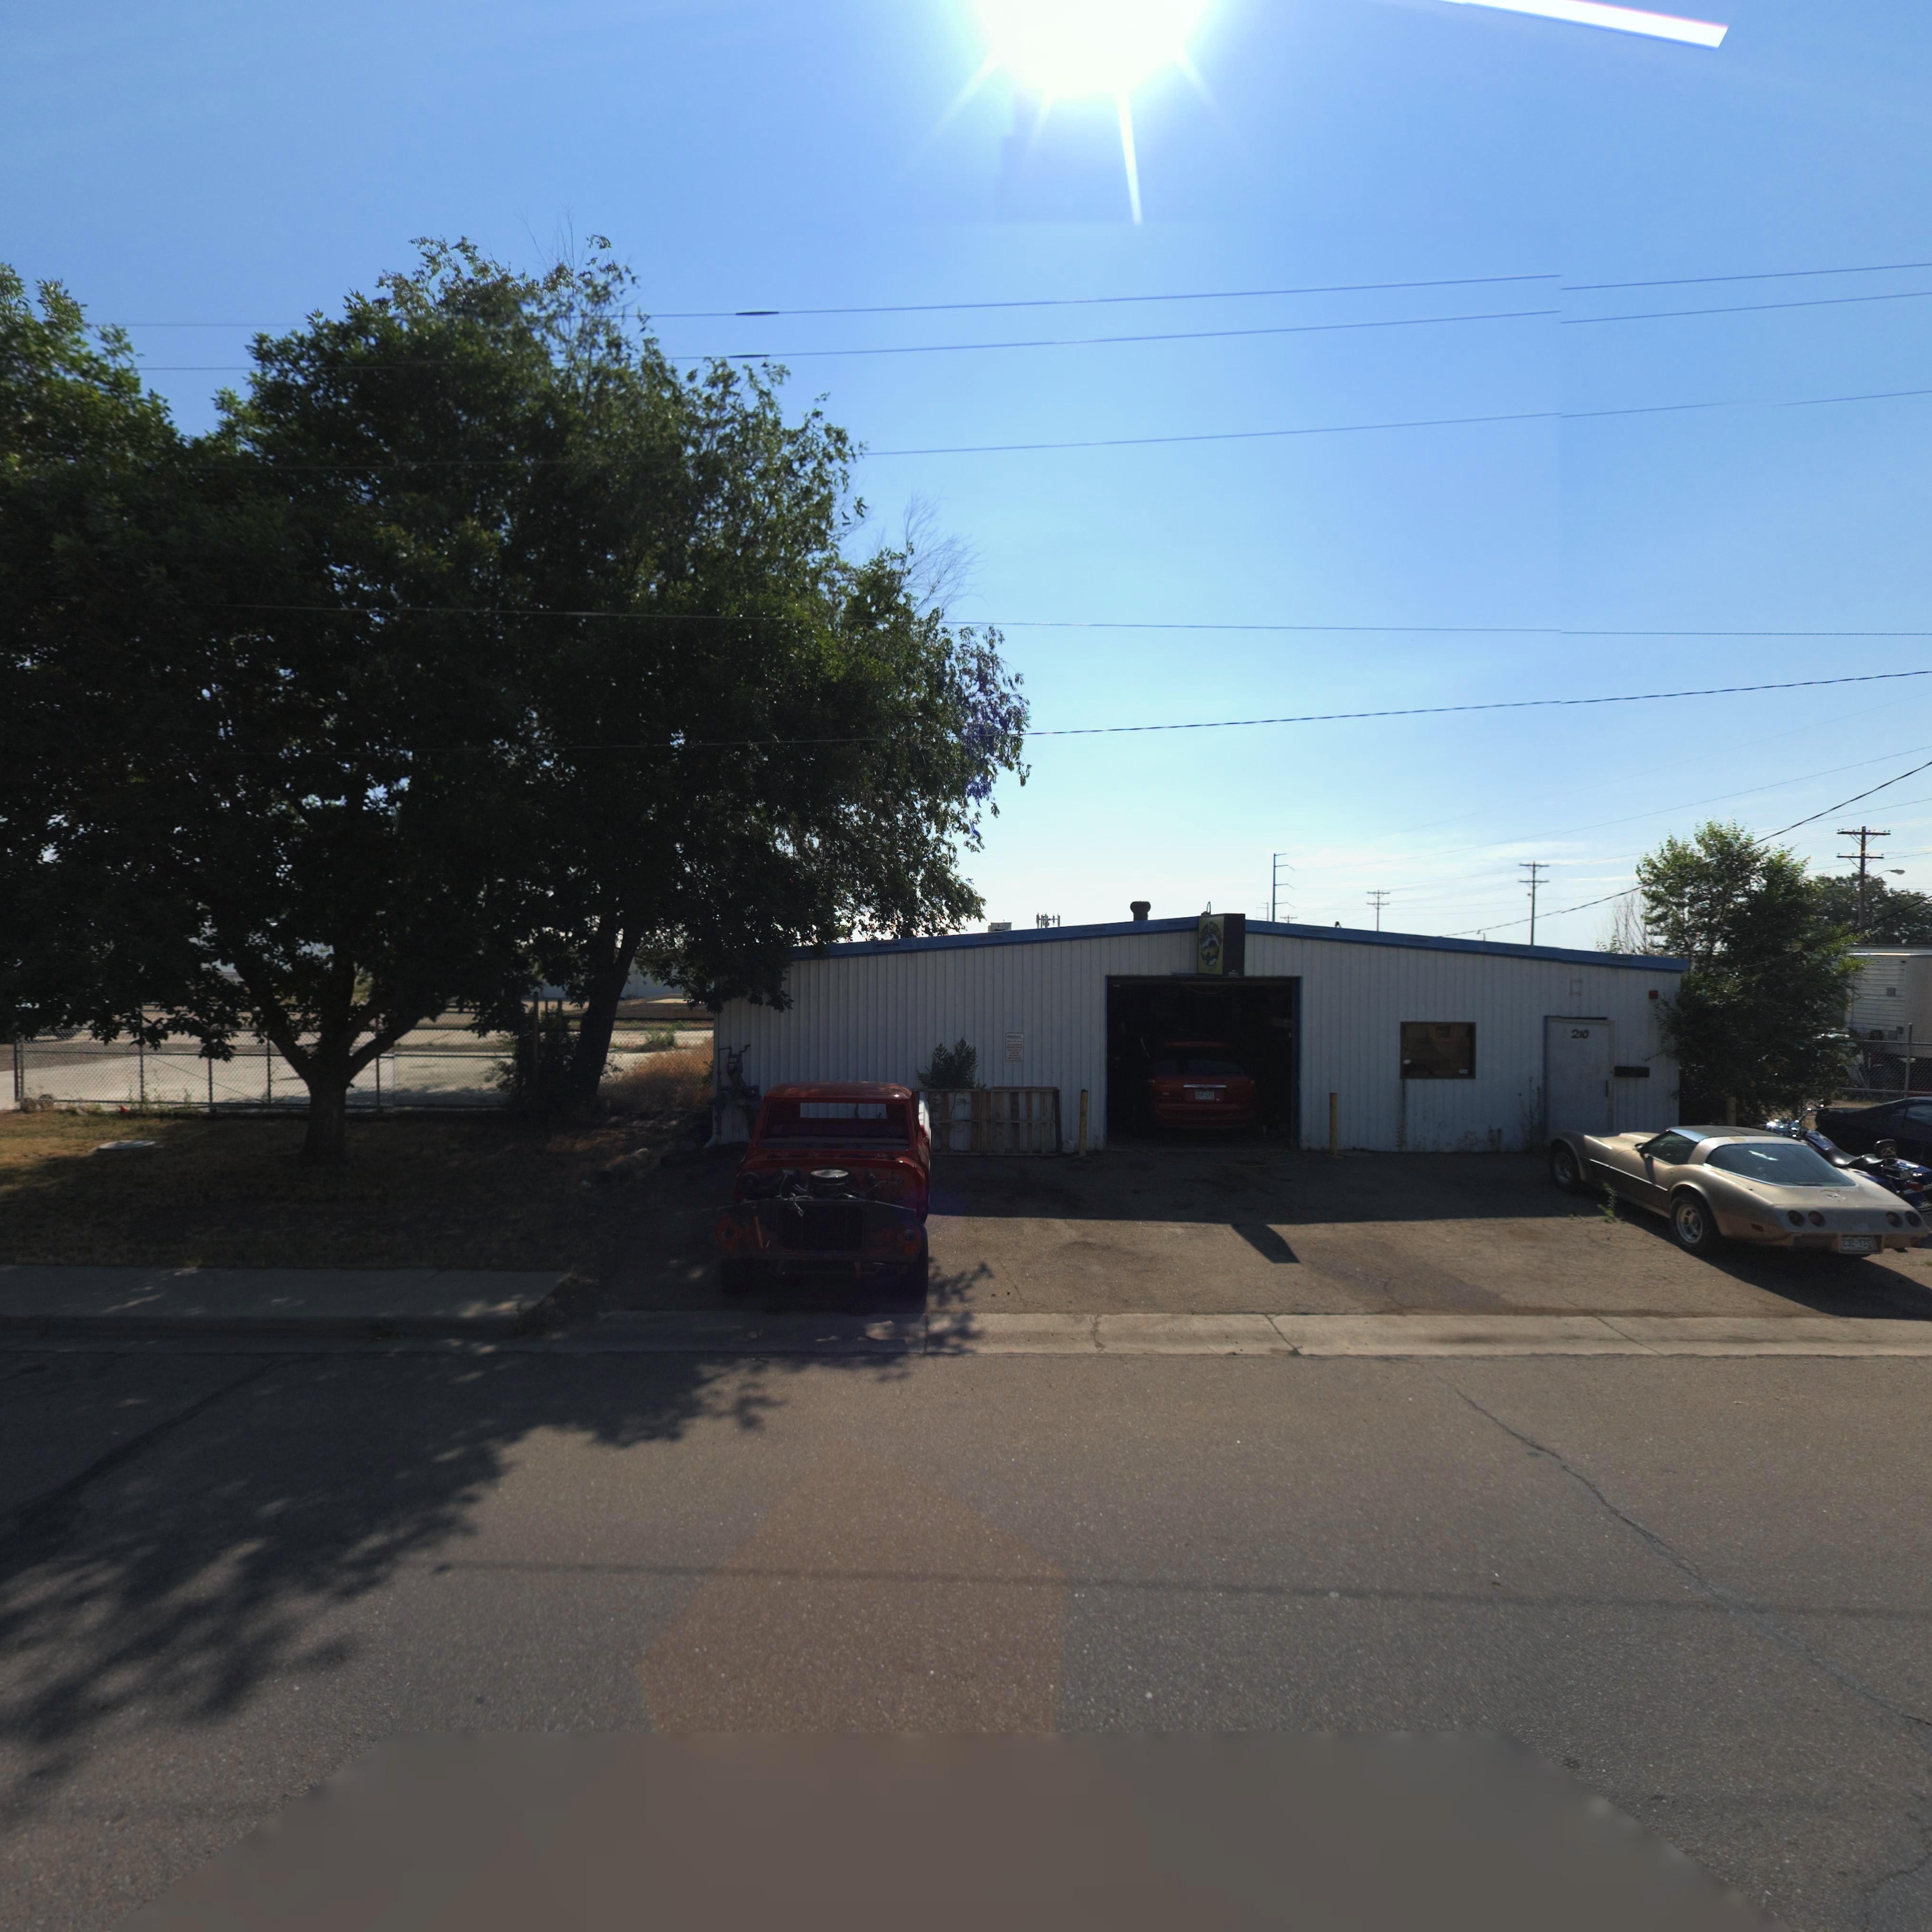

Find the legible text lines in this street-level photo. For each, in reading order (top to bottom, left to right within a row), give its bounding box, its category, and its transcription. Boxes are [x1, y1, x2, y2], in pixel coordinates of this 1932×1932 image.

[1198, 921, 1223, 946] BusinessName: MRS OE***
[1570, 1029, 1589, 1039] StreetNumber: 210